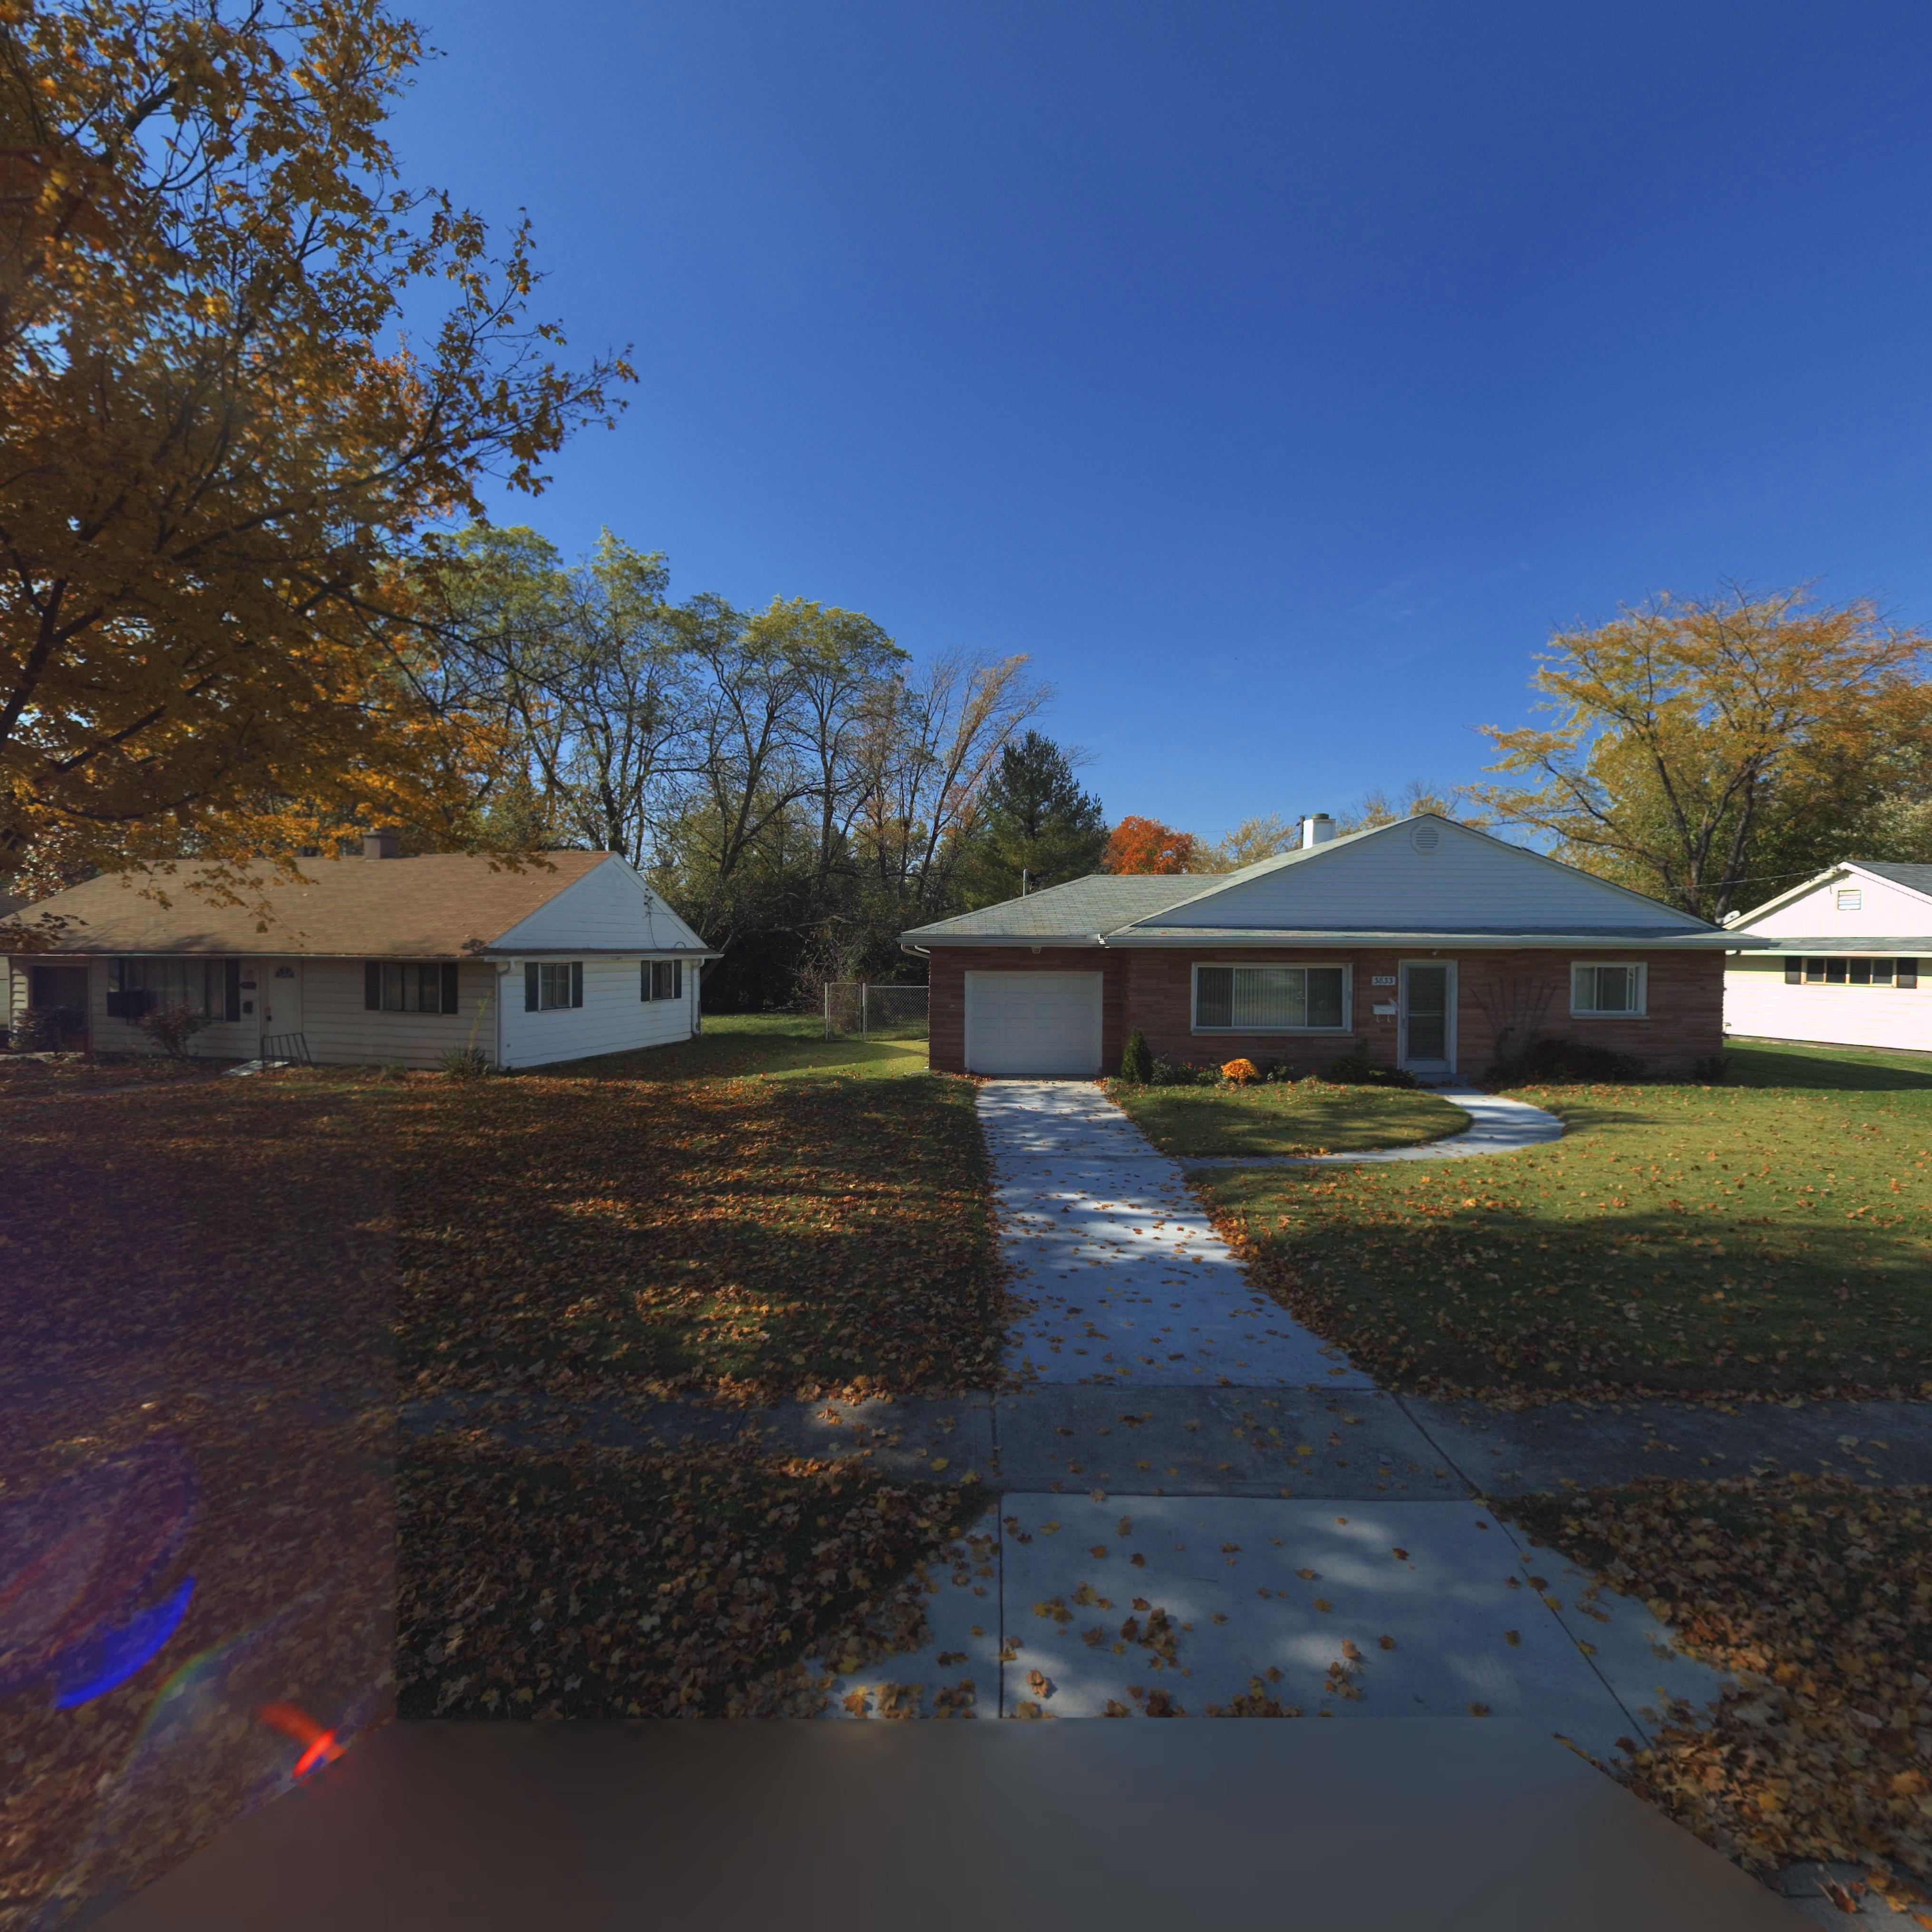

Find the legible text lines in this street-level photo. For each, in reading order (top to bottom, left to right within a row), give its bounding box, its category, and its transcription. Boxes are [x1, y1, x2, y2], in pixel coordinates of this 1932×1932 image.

[1373, 976, 1394, 985] StreetNumber: 3833